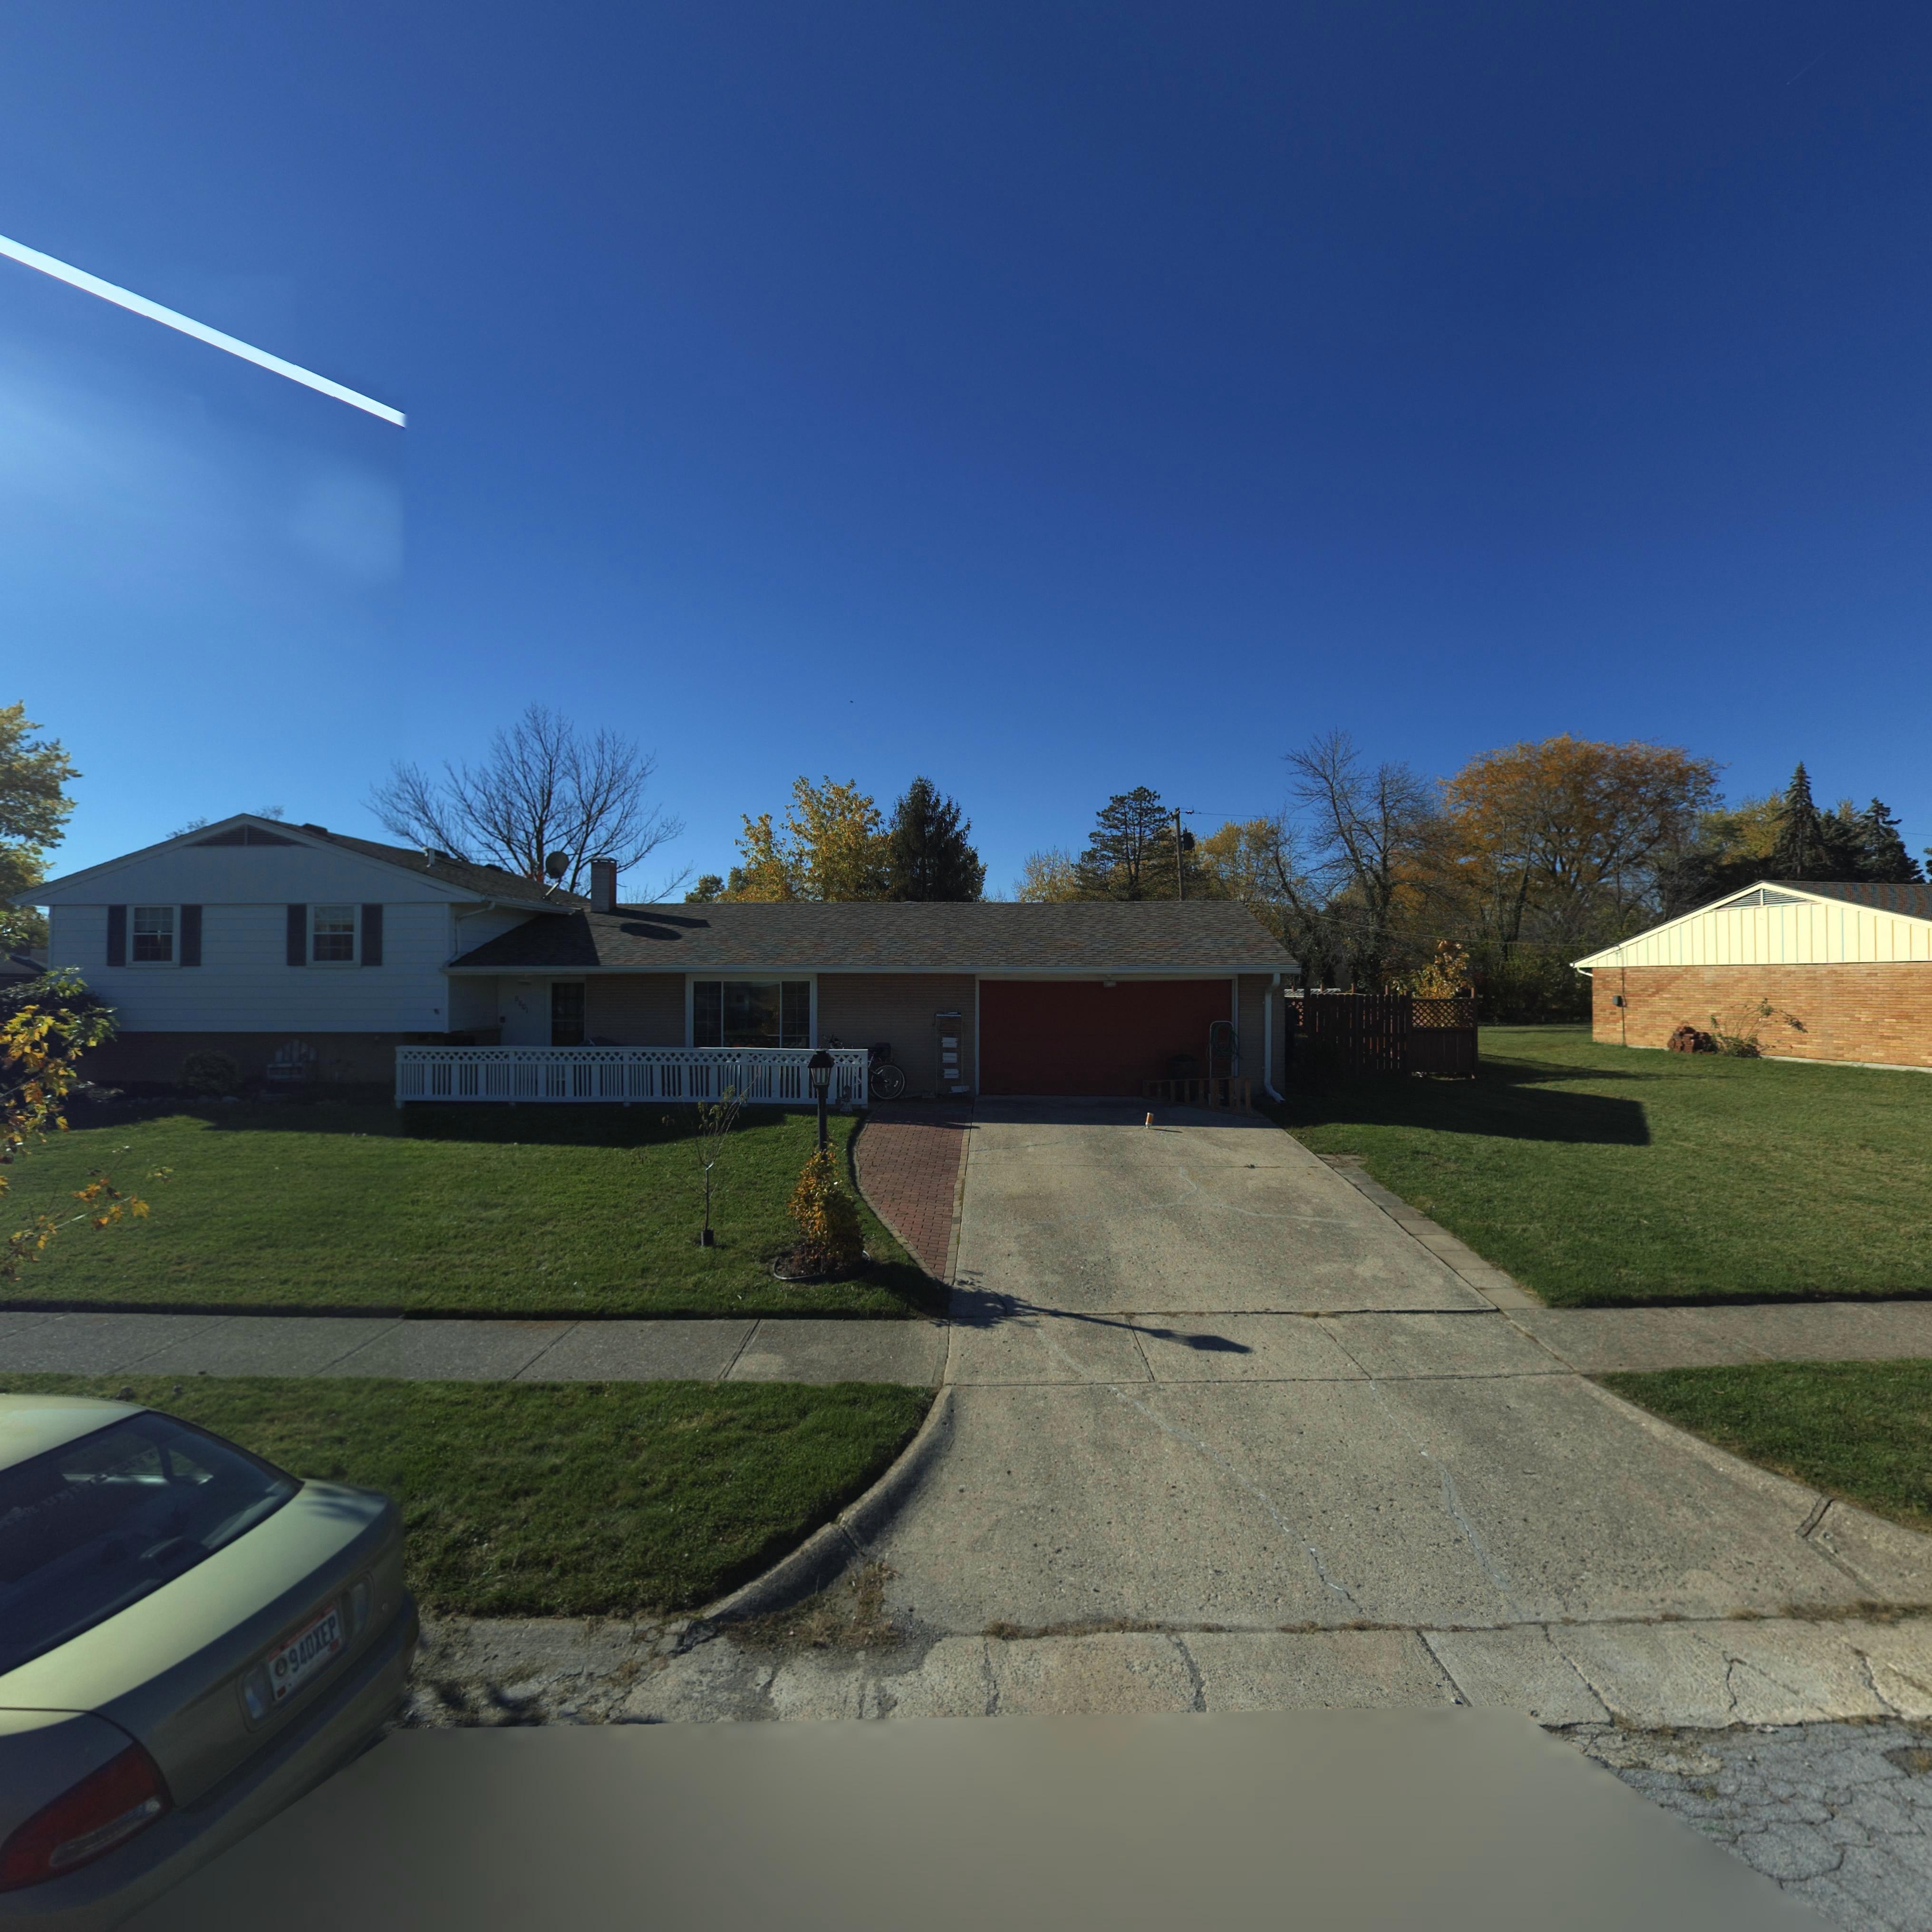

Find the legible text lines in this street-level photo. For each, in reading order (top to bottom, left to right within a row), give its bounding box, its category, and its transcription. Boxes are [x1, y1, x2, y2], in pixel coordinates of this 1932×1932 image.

[513, 995, 529, 1014] StreetNumber: 6801